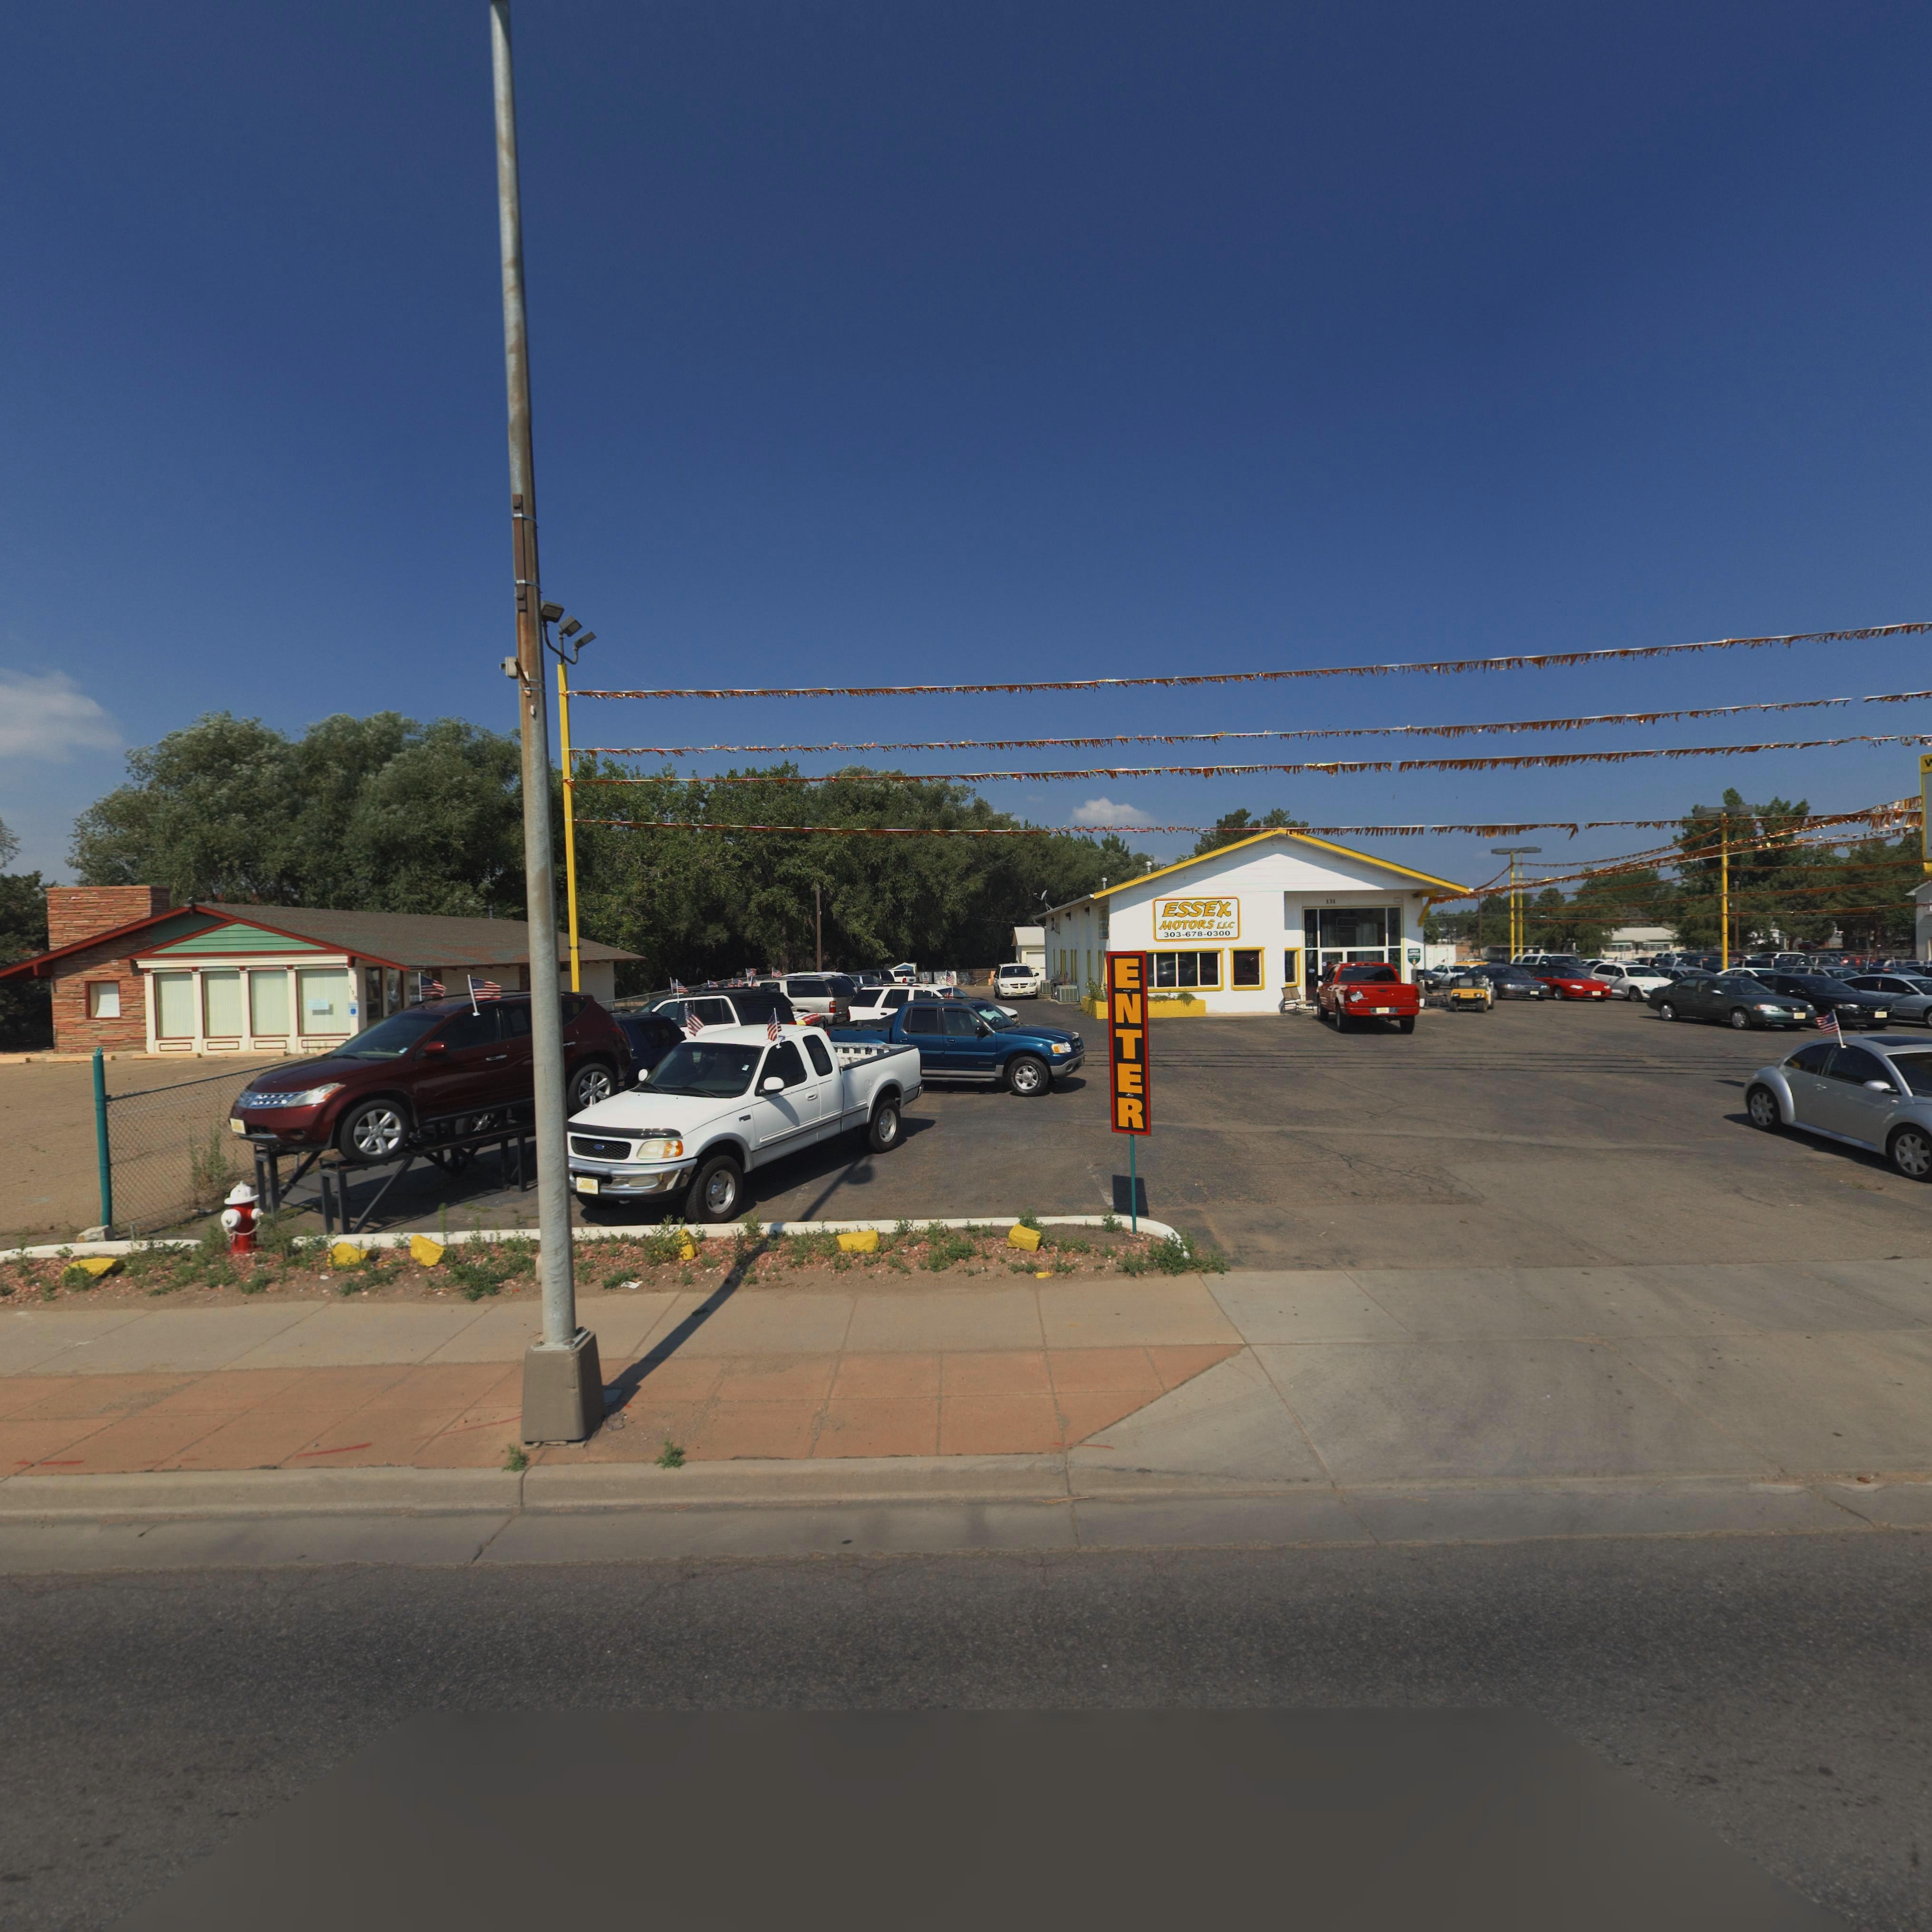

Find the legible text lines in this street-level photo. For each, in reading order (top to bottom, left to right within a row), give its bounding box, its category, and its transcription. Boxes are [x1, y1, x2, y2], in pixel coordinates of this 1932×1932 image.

[1161, 899, 1231, 918] BusinessName: ESSEX
[1326, 898, 1335, 903] StreetNumber: 131
[1158, 918, 1236, 930] BusinessName: MOTORS LLC
[348, 985, 357, 1001] StreetNumber: 133